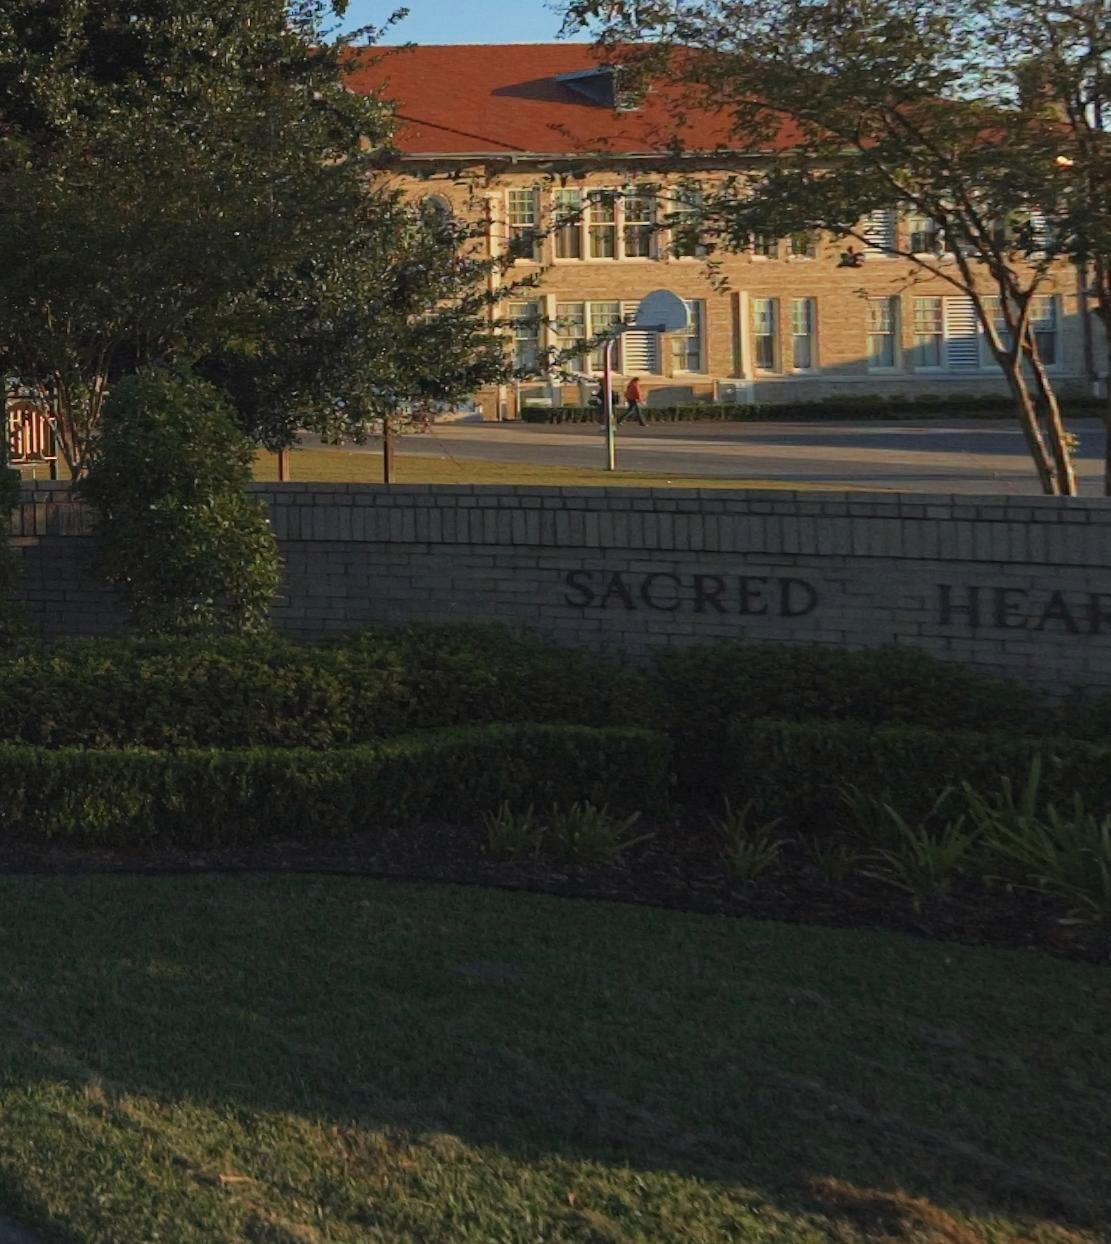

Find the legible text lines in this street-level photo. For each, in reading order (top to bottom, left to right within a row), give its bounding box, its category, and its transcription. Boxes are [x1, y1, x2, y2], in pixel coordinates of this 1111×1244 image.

[558, 563, 1088, 640] BusinessName: SACRED HEA